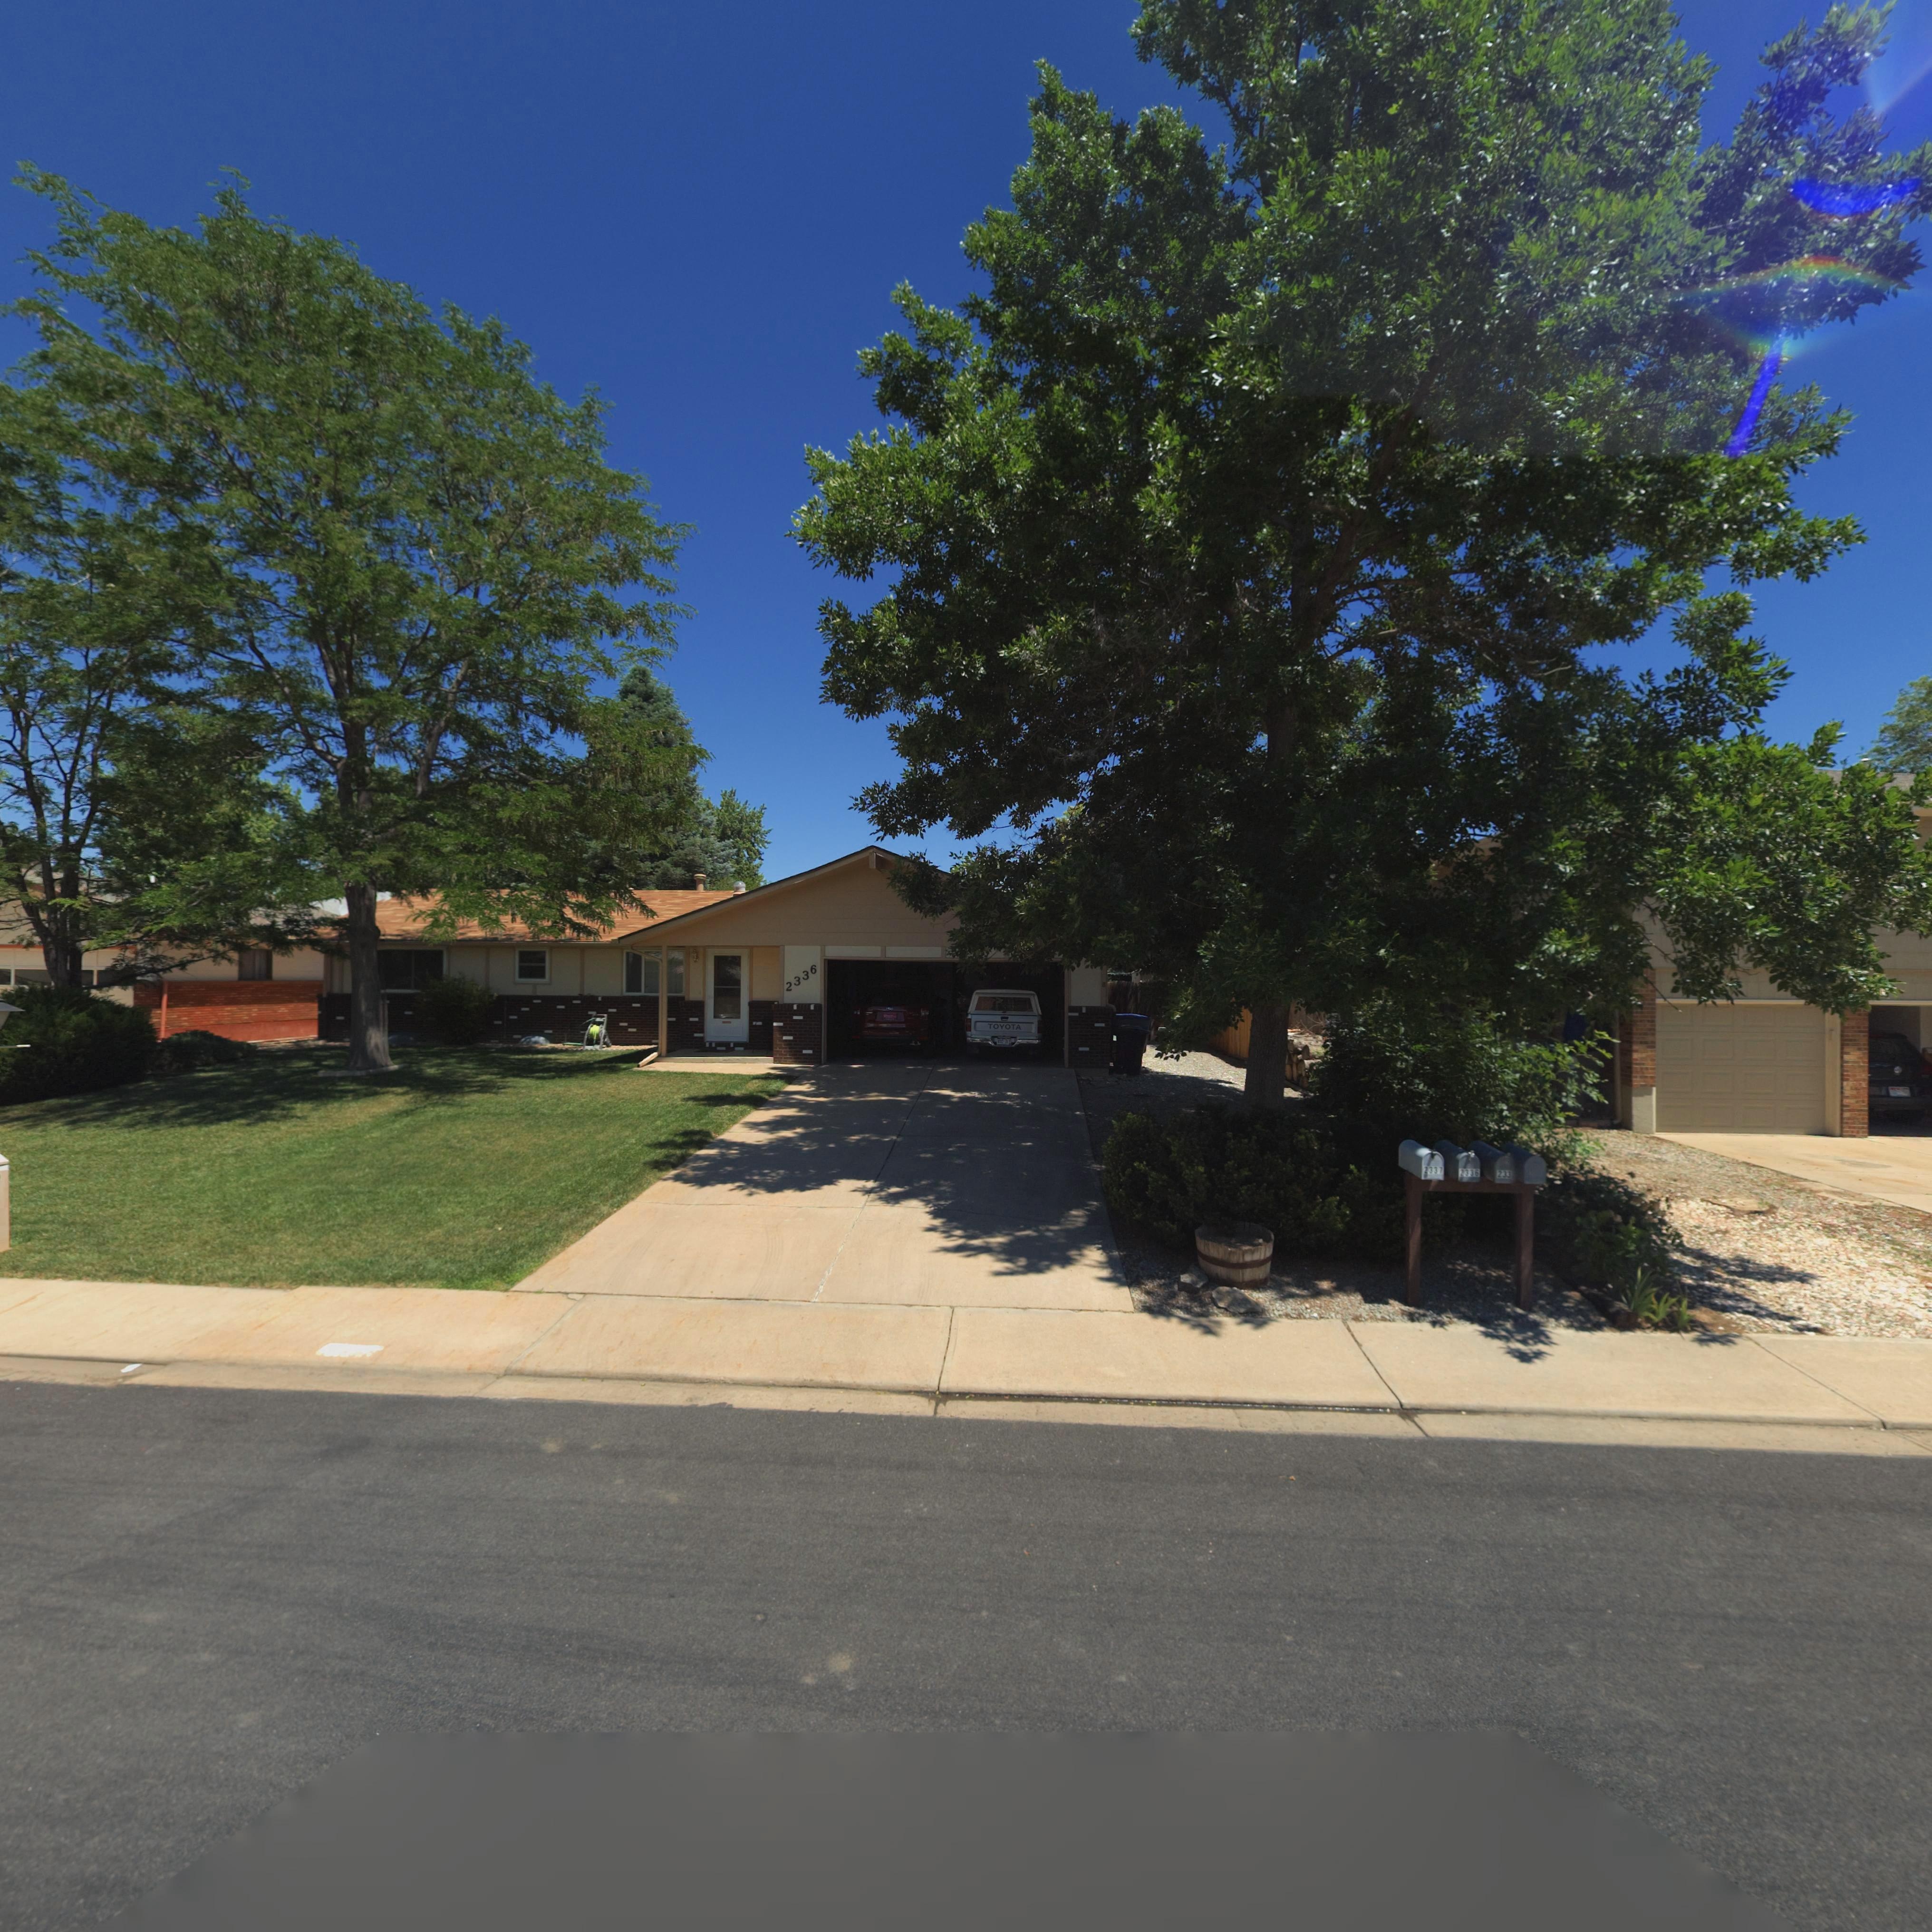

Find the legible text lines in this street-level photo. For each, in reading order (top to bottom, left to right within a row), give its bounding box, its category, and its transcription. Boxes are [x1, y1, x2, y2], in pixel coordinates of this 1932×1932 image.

[785, 964, 817, 991] StreetNumber: 2336
[1423, 1166, 1443, 1173] StreetNumber: 2337
[1459, 1169, 1479, 1177] StreetNumber: 2336
[1497, 1169, 1511, 1178] StreetNumber: 233